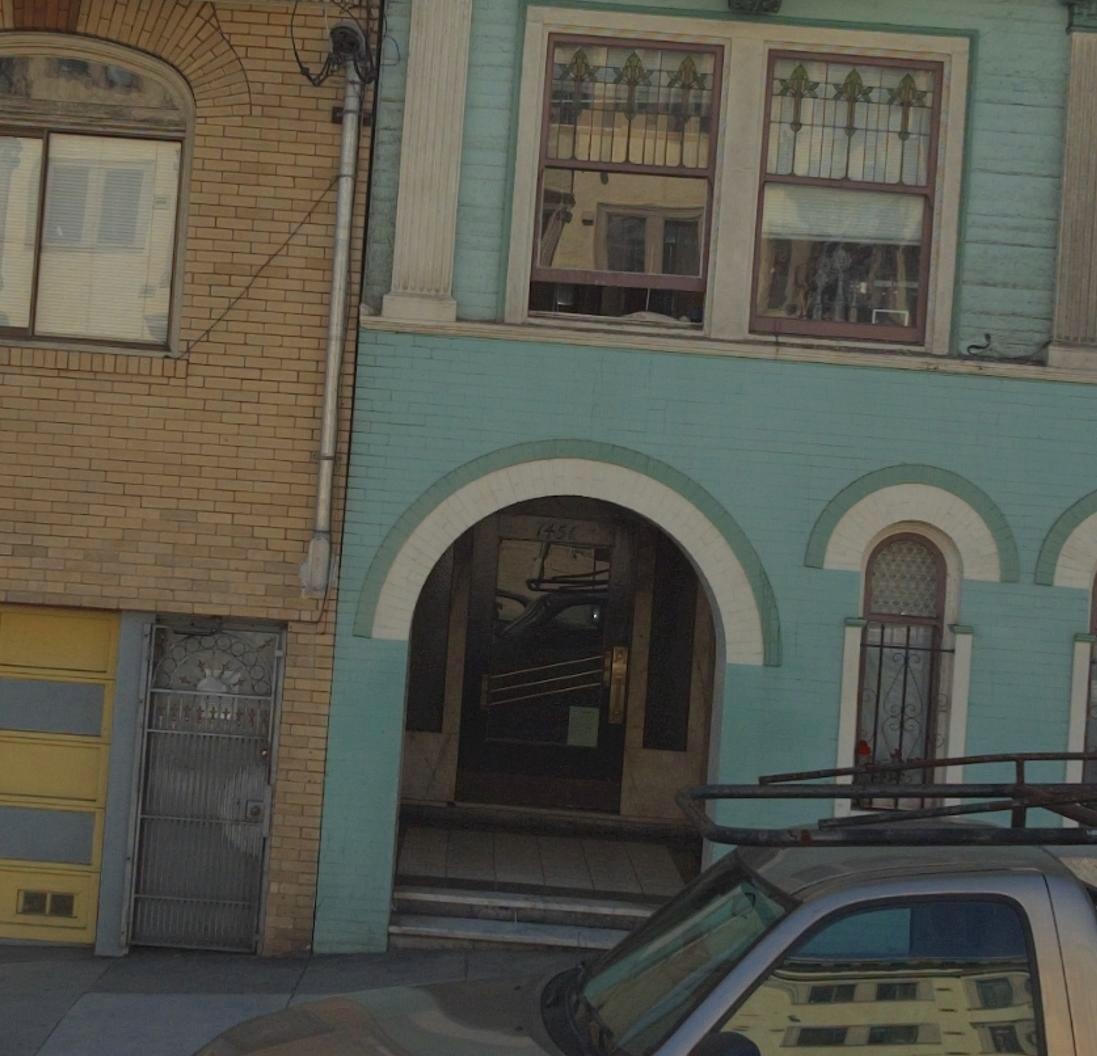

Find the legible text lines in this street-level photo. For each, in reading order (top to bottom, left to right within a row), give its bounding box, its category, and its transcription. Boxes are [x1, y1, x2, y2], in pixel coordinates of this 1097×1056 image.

[533, 522, 579, 542] StreetNumber: 1451